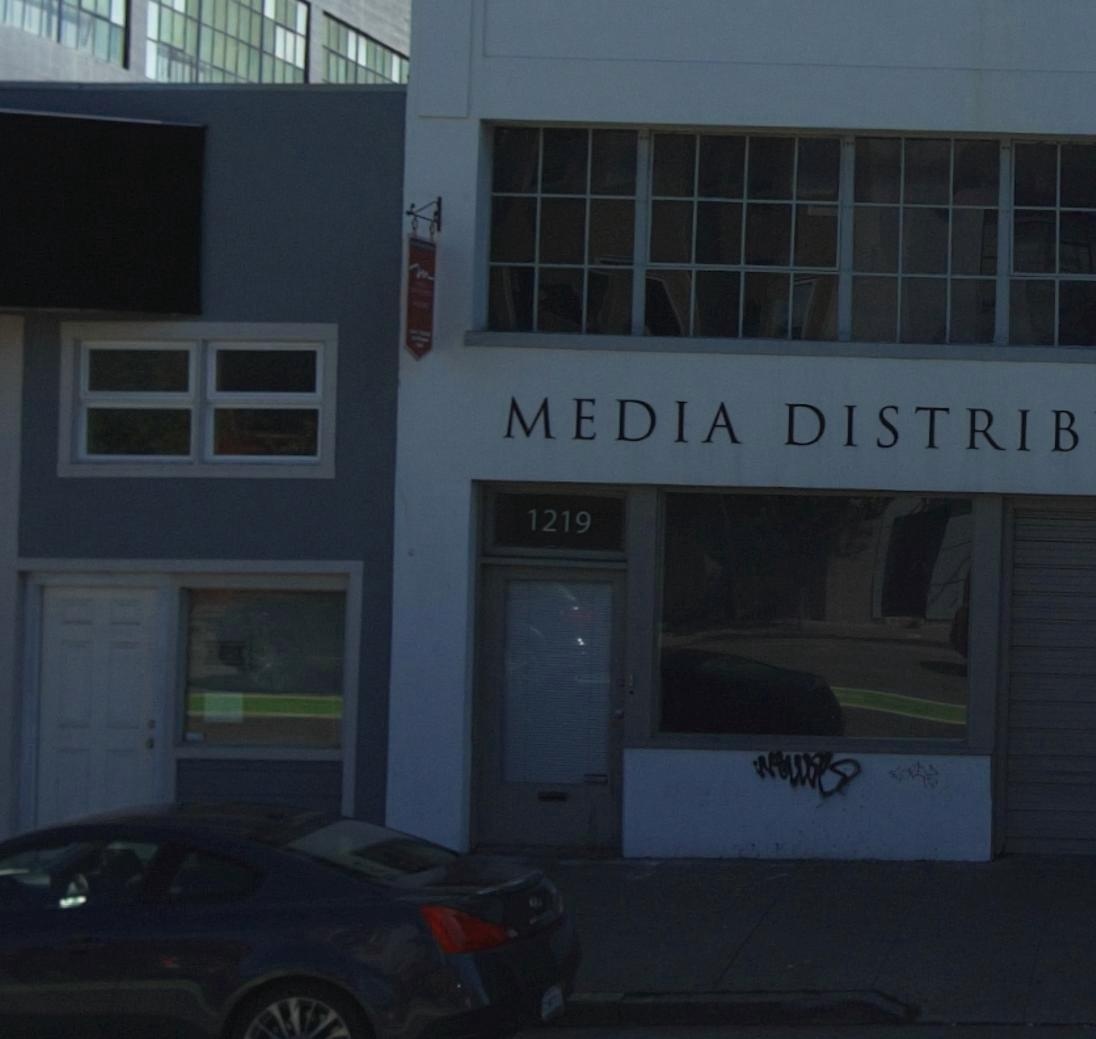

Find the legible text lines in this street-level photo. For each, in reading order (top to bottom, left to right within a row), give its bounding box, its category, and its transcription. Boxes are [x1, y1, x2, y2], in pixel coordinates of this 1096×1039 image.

[497, 389, 1084, 461] BusinessName: MEDIA DISTRIB
[523, 505, 596, 537] StreetNumber: 1219